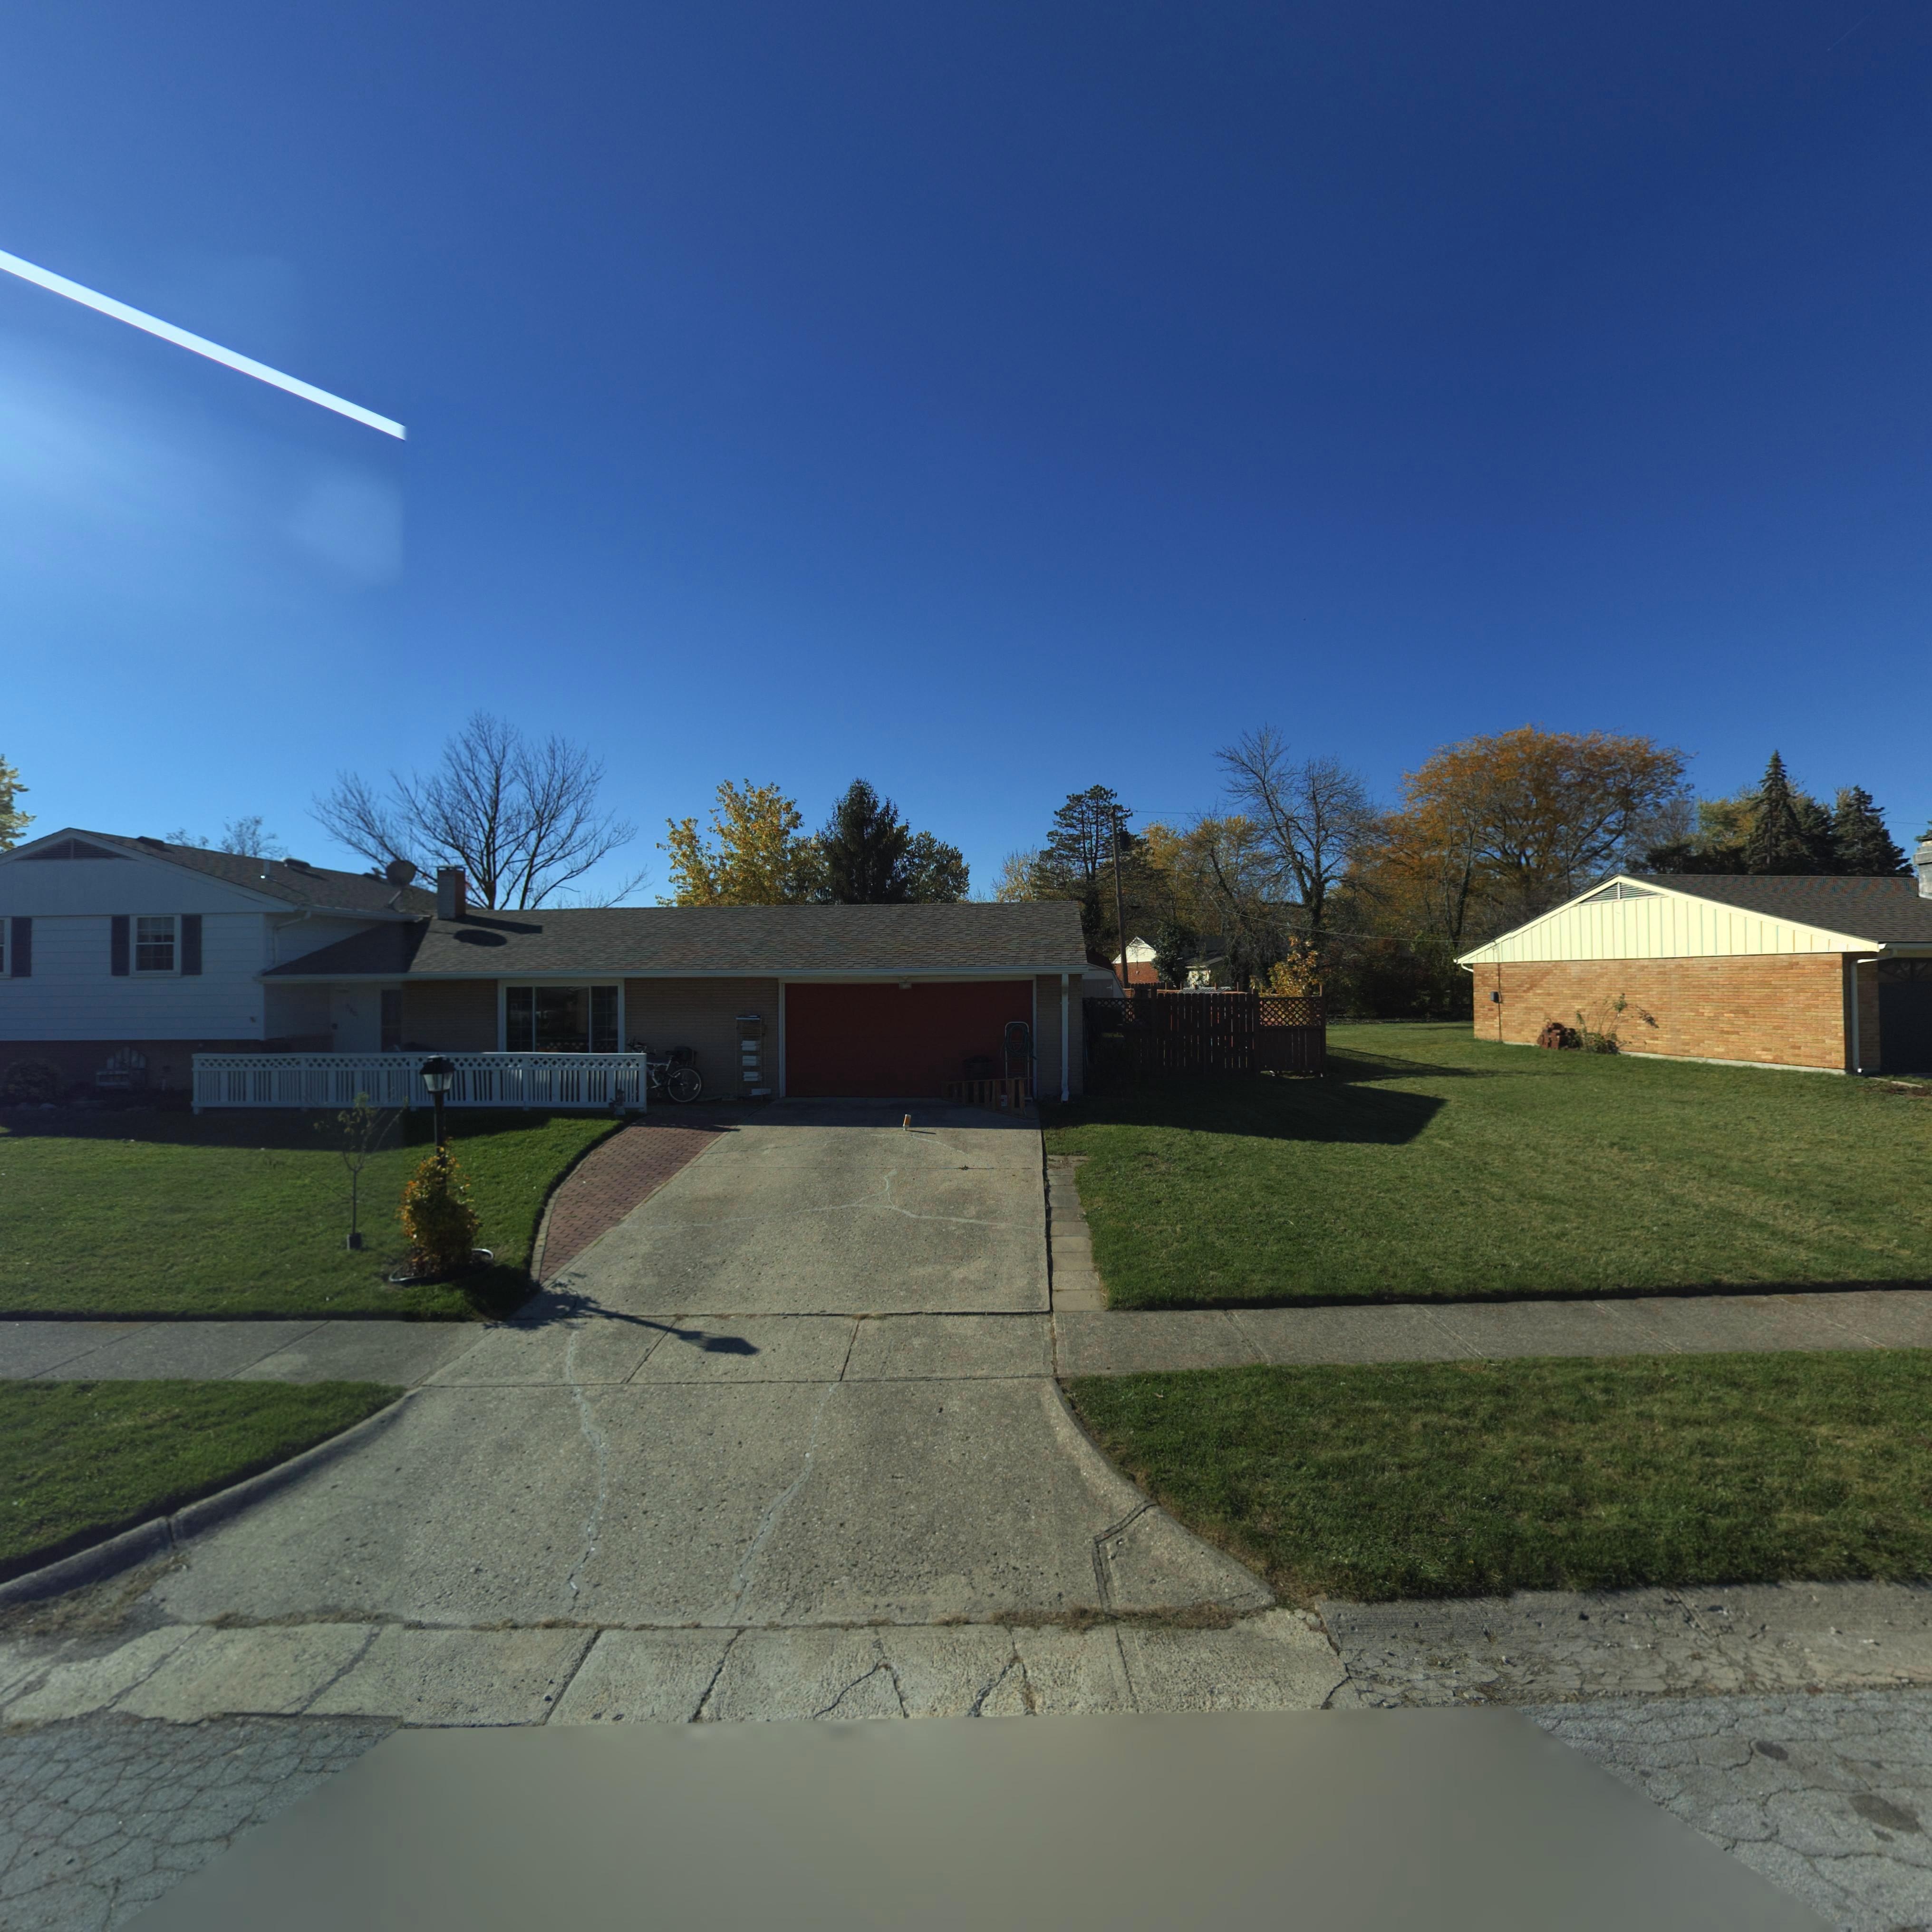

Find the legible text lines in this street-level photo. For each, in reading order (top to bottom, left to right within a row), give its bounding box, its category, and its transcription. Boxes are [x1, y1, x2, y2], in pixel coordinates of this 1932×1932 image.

[352, 1011, 357, 1016] StreetNumber: 0